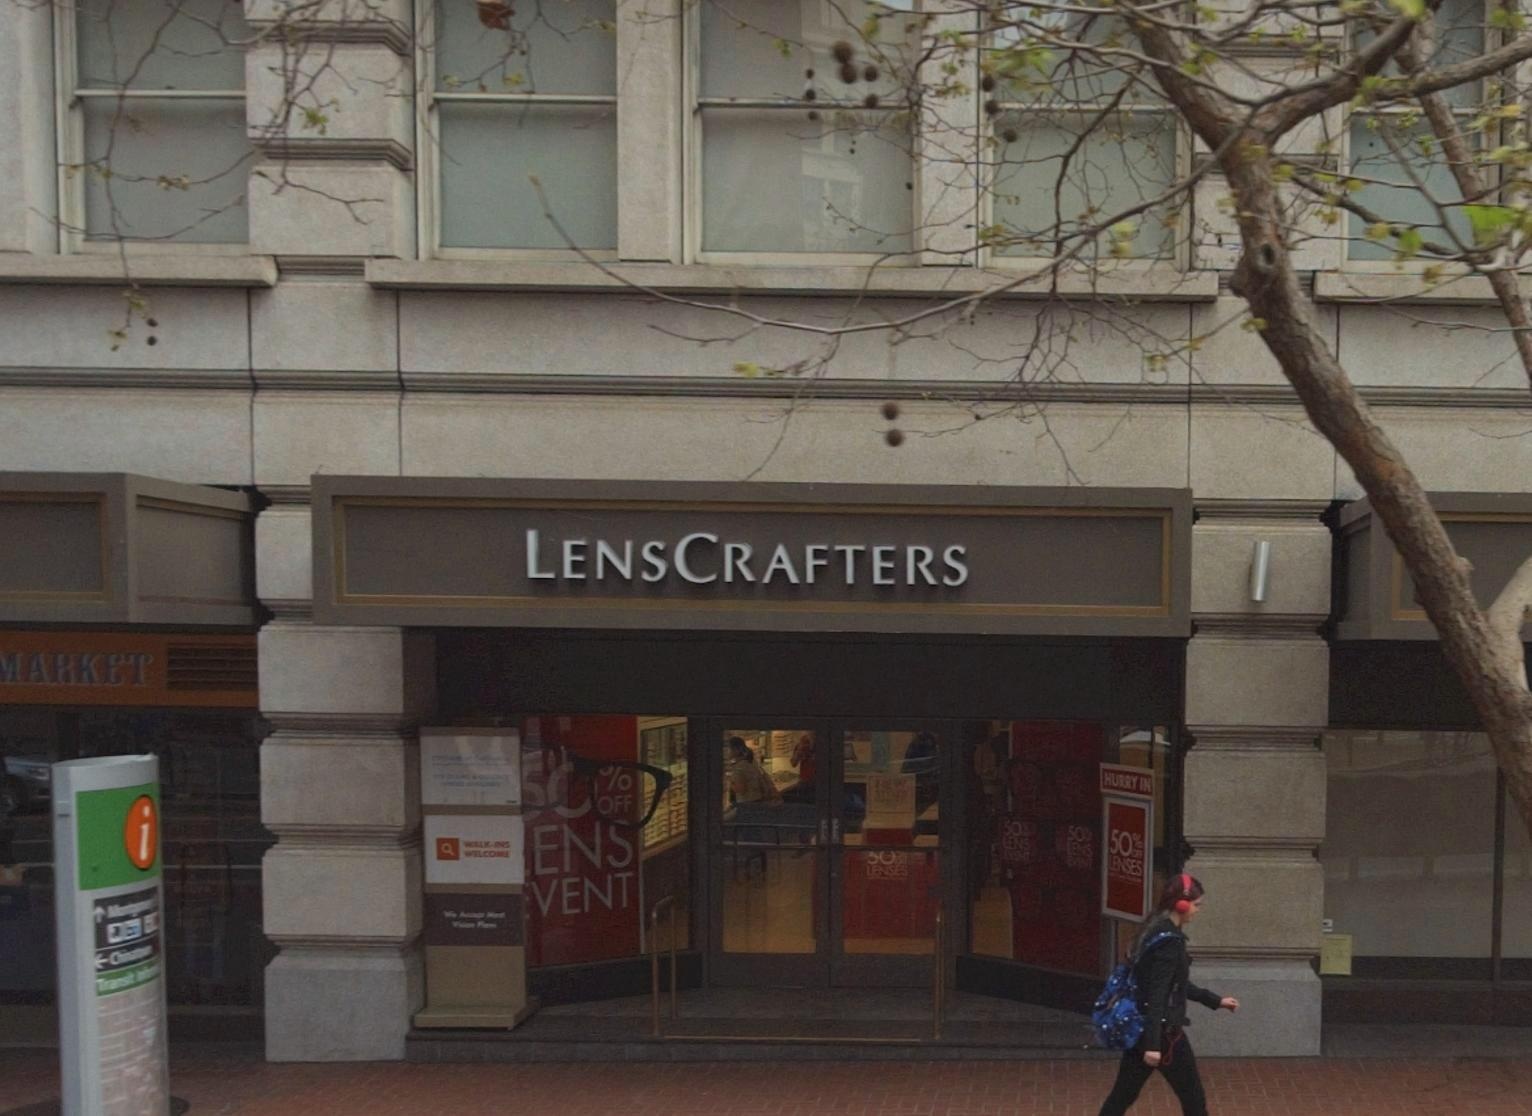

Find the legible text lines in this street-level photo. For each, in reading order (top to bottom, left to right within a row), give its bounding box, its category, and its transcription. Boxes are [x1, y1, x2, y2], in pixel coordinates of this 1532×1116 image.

[522, 527, 971, 589] BusinessName: LENSCRAFTERS
[16, 647, 161, 690] BusinessName: ARKET
[592, 791, 636, 818] None: OFF
[136, 802, 155, 865] None: i
[460, 848, 513, 860] None: WELCOME
[528, 812, 640, 881] None: ENS
[865, 861, 912, 879] None: LENSES
[1000, 817, 1025, 838] None: 50
[1000, 832, 1033, 853] None: LENS
[1065, 823, 1087, 844] None: 50
[1064, 839, 1094, 859] None: LENS
[1106, 825, 1135, 860] None: 50
[1105, 851, 1145, 880] None: LENSES
[1130, 846, 1144, 861] None: OFF
[524, 866, 640, 922] None: VENT